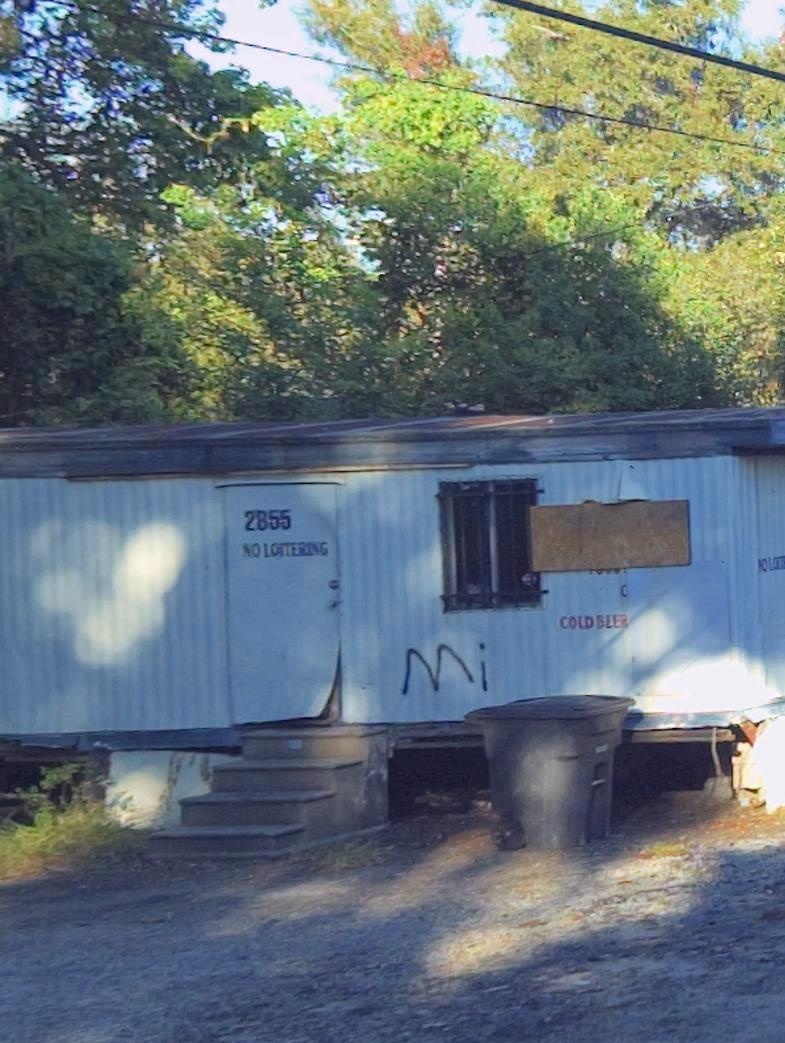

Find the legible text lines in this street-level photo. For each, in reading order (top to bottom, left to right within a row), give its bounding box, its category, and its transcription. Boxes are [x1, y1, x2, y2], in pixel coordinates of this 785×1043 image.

[243, 509, 292, 532] StreetNumber: 2855
[241, 540, 329, 559] None: NO LOITERING
[756, 555, 782, 574] None: NO LOI
[560, 613, 630, 630] None: COLD BEER
[400, 641, 492, 698] None: Mi